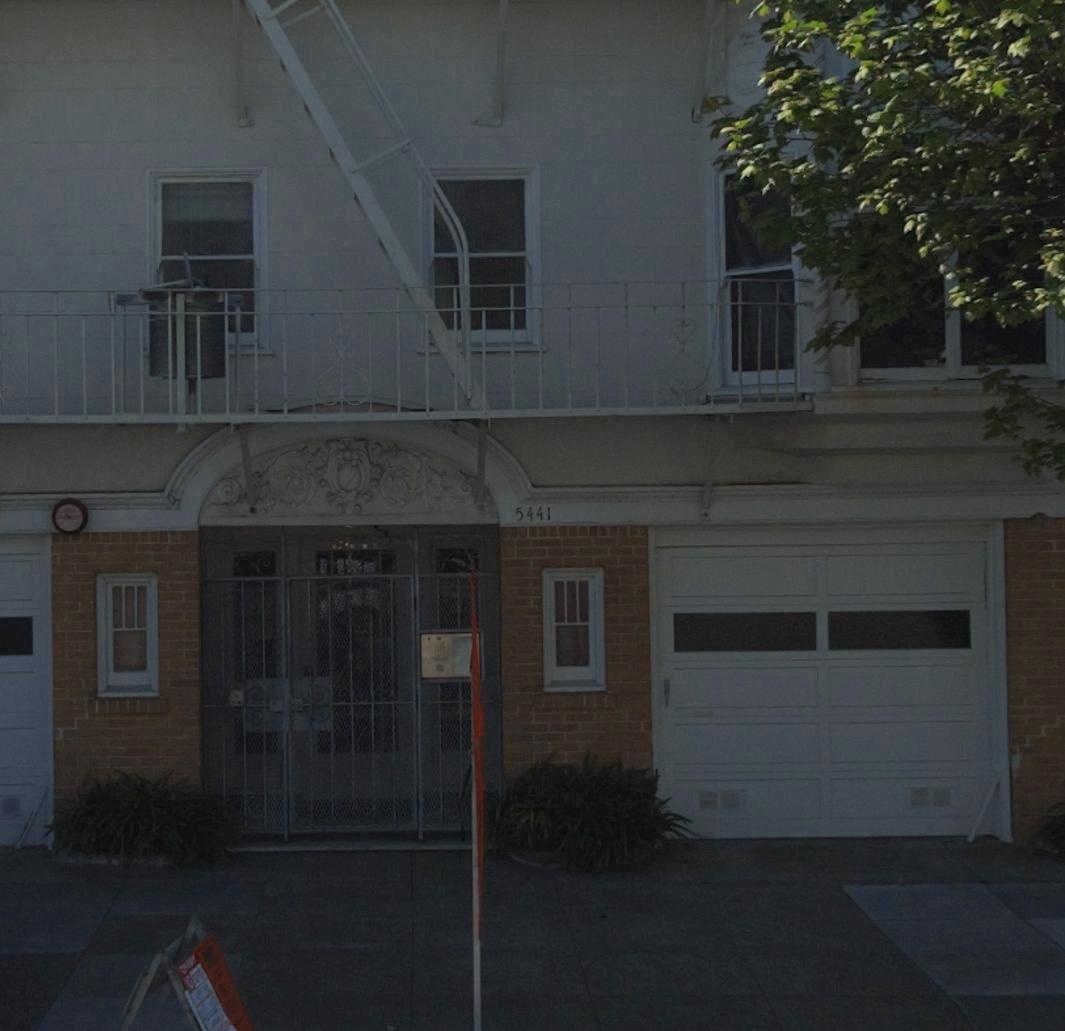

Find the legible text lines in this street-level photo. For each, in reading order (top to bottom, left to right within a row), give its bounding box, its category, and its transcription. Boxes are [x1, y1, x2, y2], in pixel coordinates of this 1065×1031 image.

[514, 503, 553, 523] StreetNumber: 5441